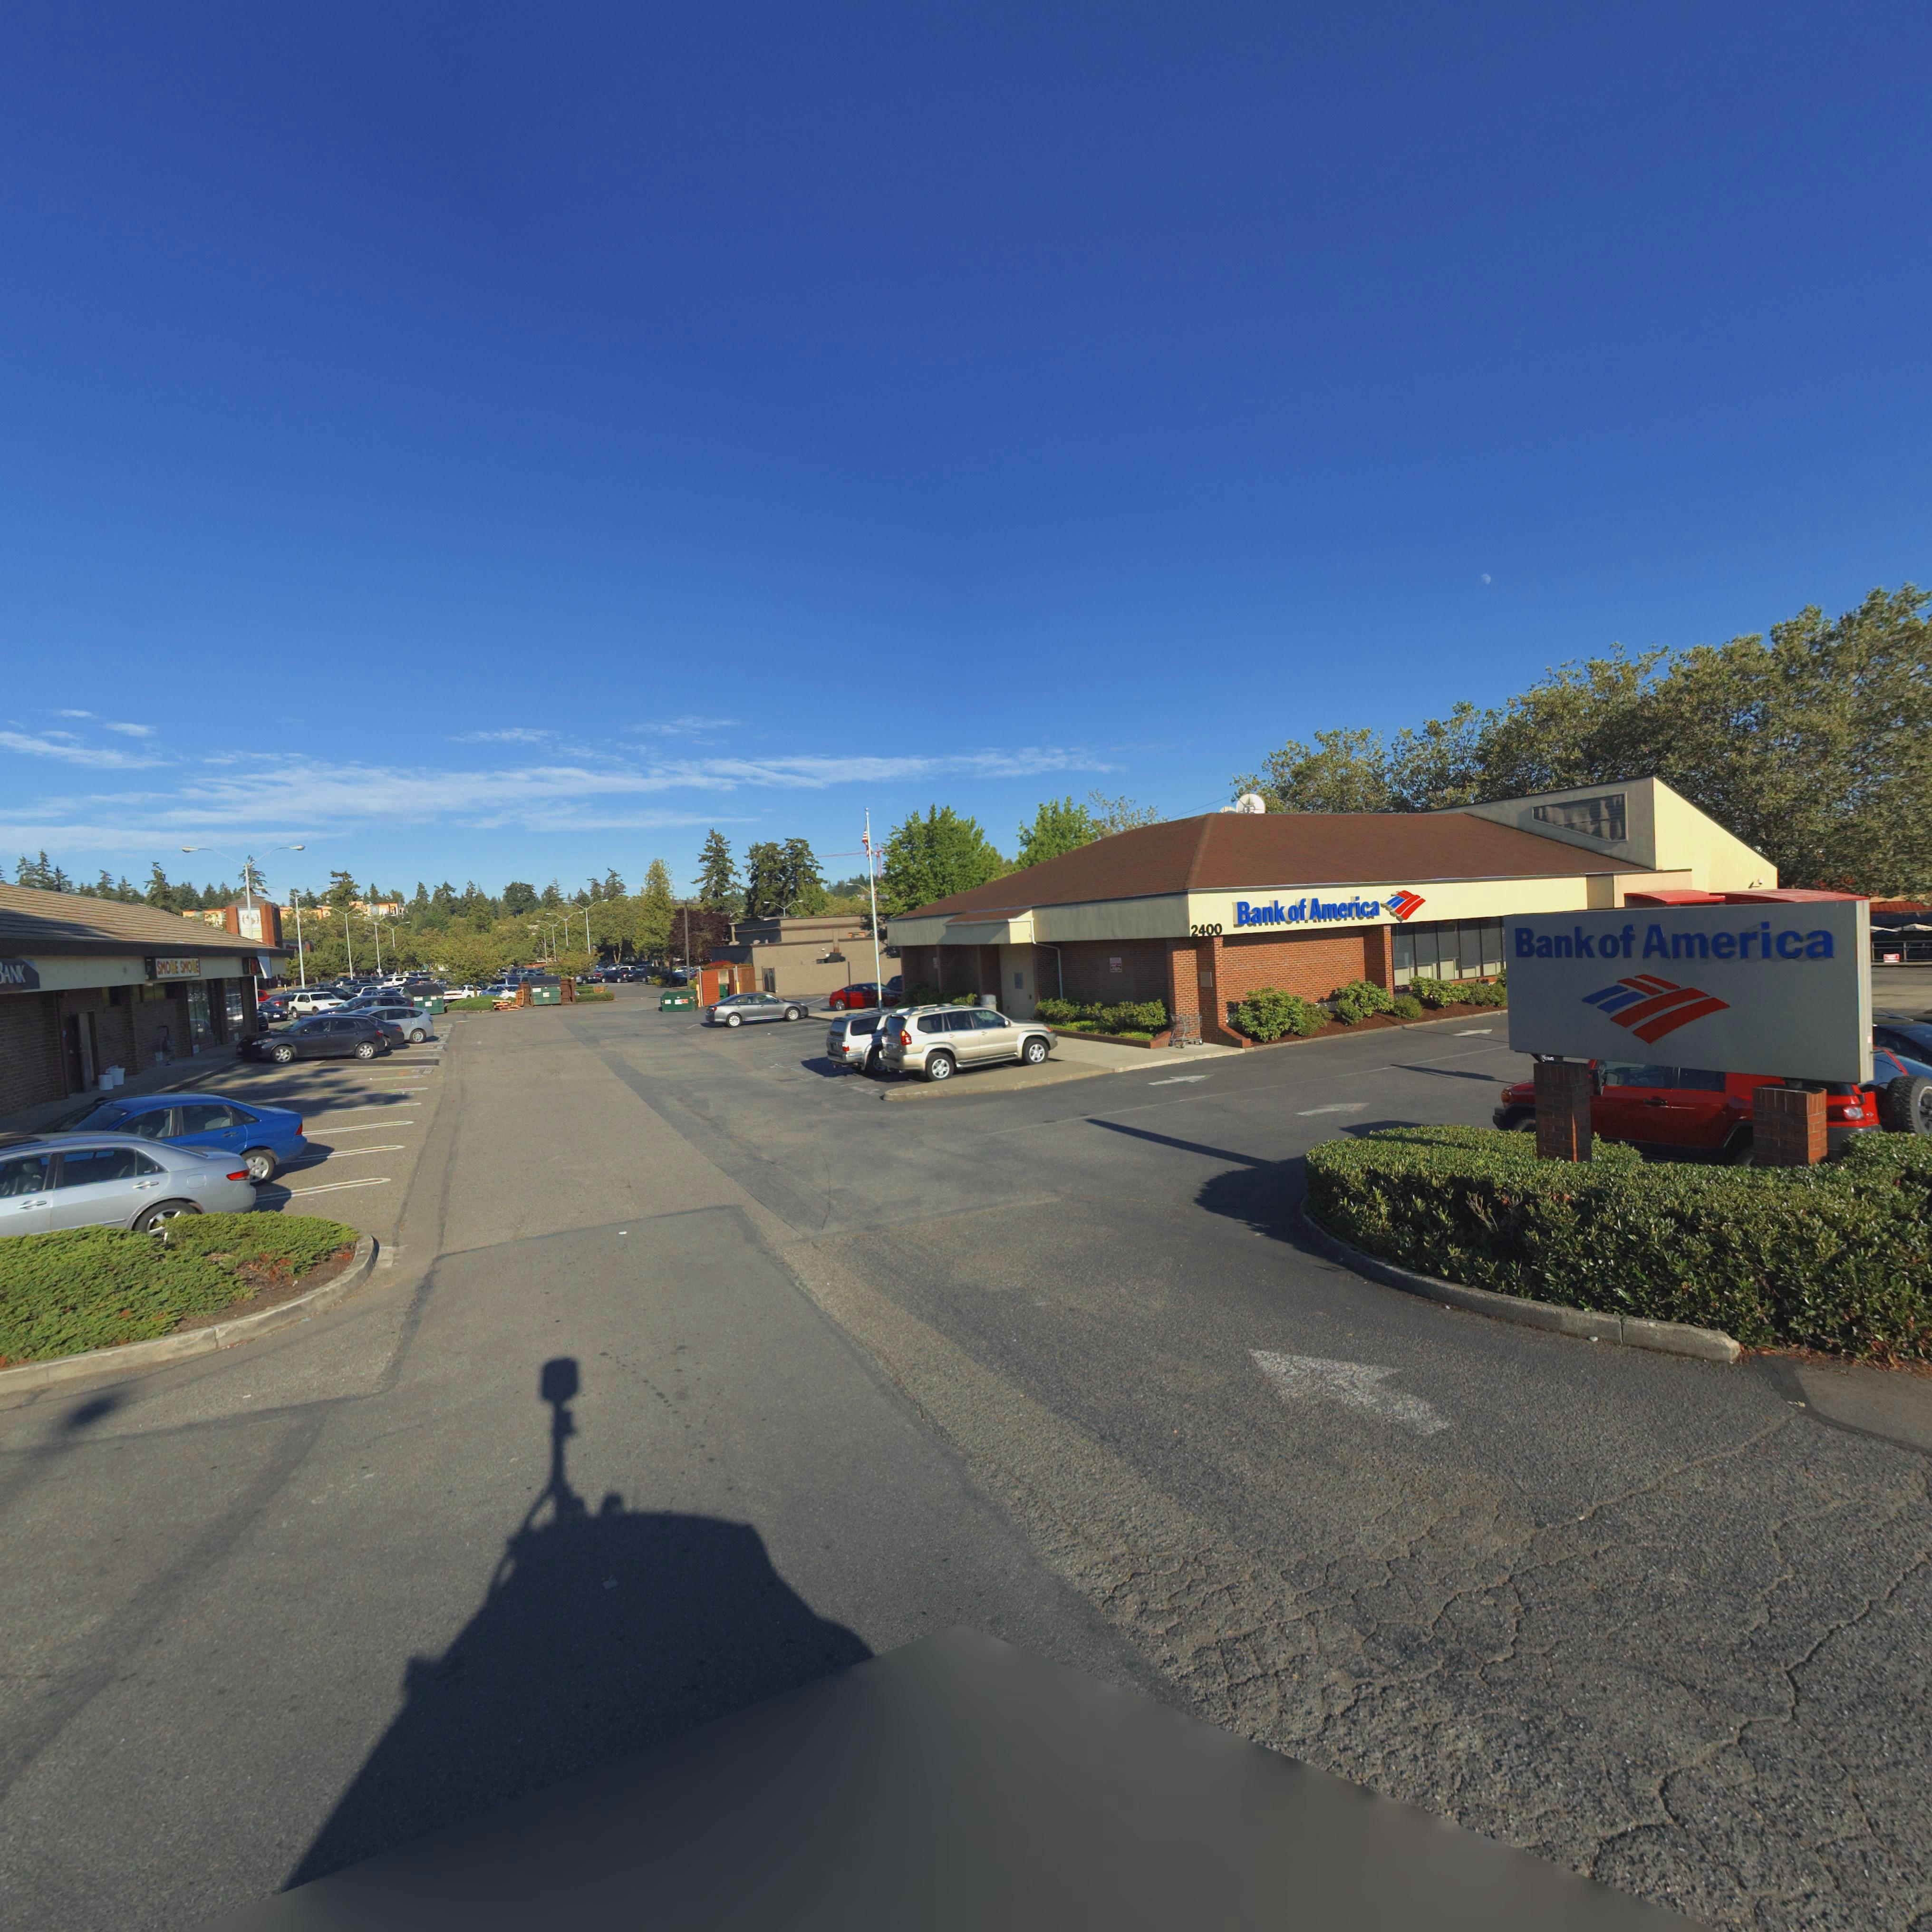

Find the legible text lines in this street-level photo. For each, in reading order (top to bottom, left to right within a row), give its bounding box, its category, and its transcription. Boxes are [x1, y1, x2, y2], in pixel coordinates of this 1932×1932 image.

[1230, 892, 1381, 926] BusinessName: Bank of America
[1190, 922, 1223, 937] StreetNumber: 2400
[1515, 917, 1833, 963] BusinessName: Bank of Amenca
[4, 965, 27, 983] BusinessName: ANK
[156, 960, 200, 976] BusinessName:  SMO*E SMO*E